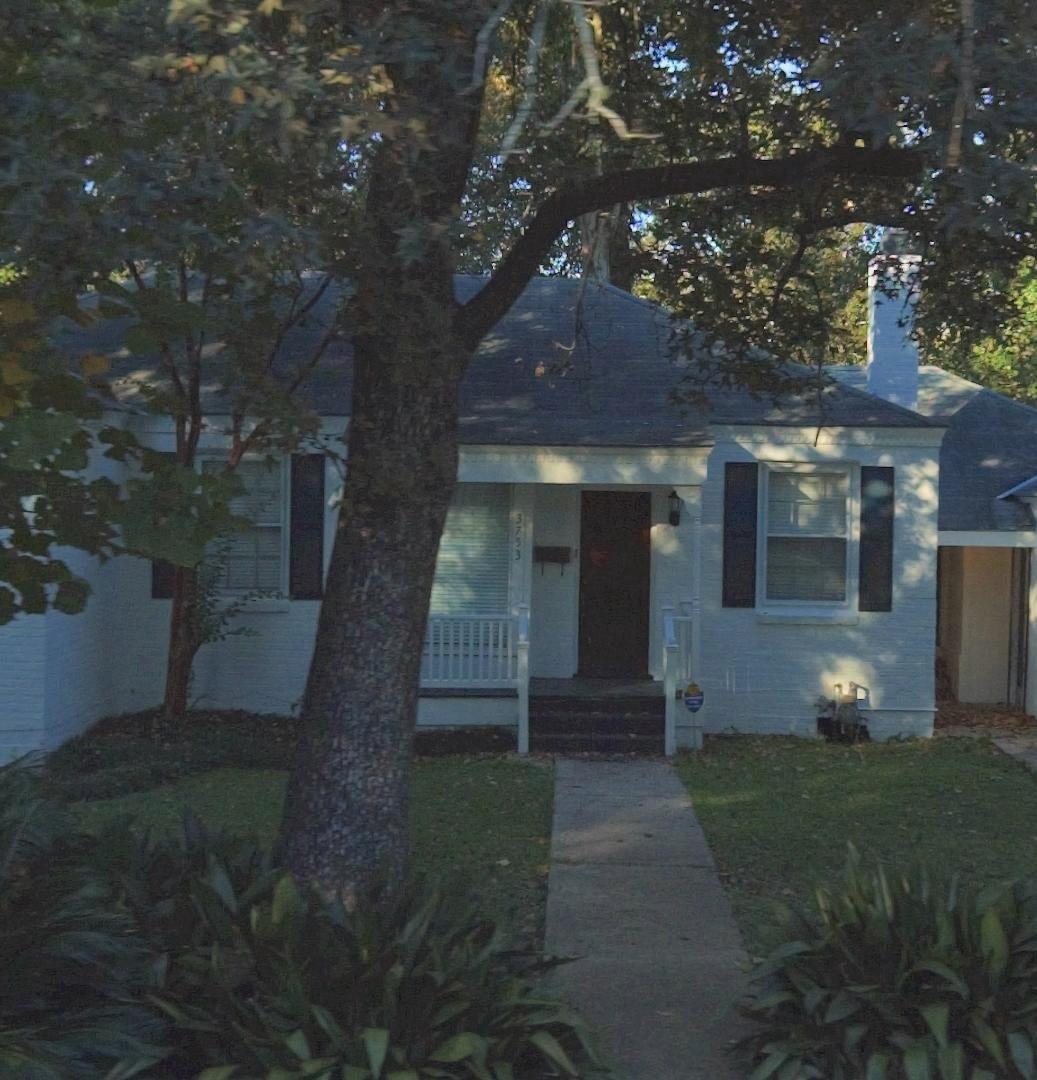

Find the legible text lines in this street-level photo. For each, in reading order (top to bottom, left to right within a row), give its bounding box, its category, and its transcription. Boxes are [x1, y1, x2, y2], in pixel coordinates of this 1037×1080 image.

[513, 511, 524, 563] StreetNumber: 3753